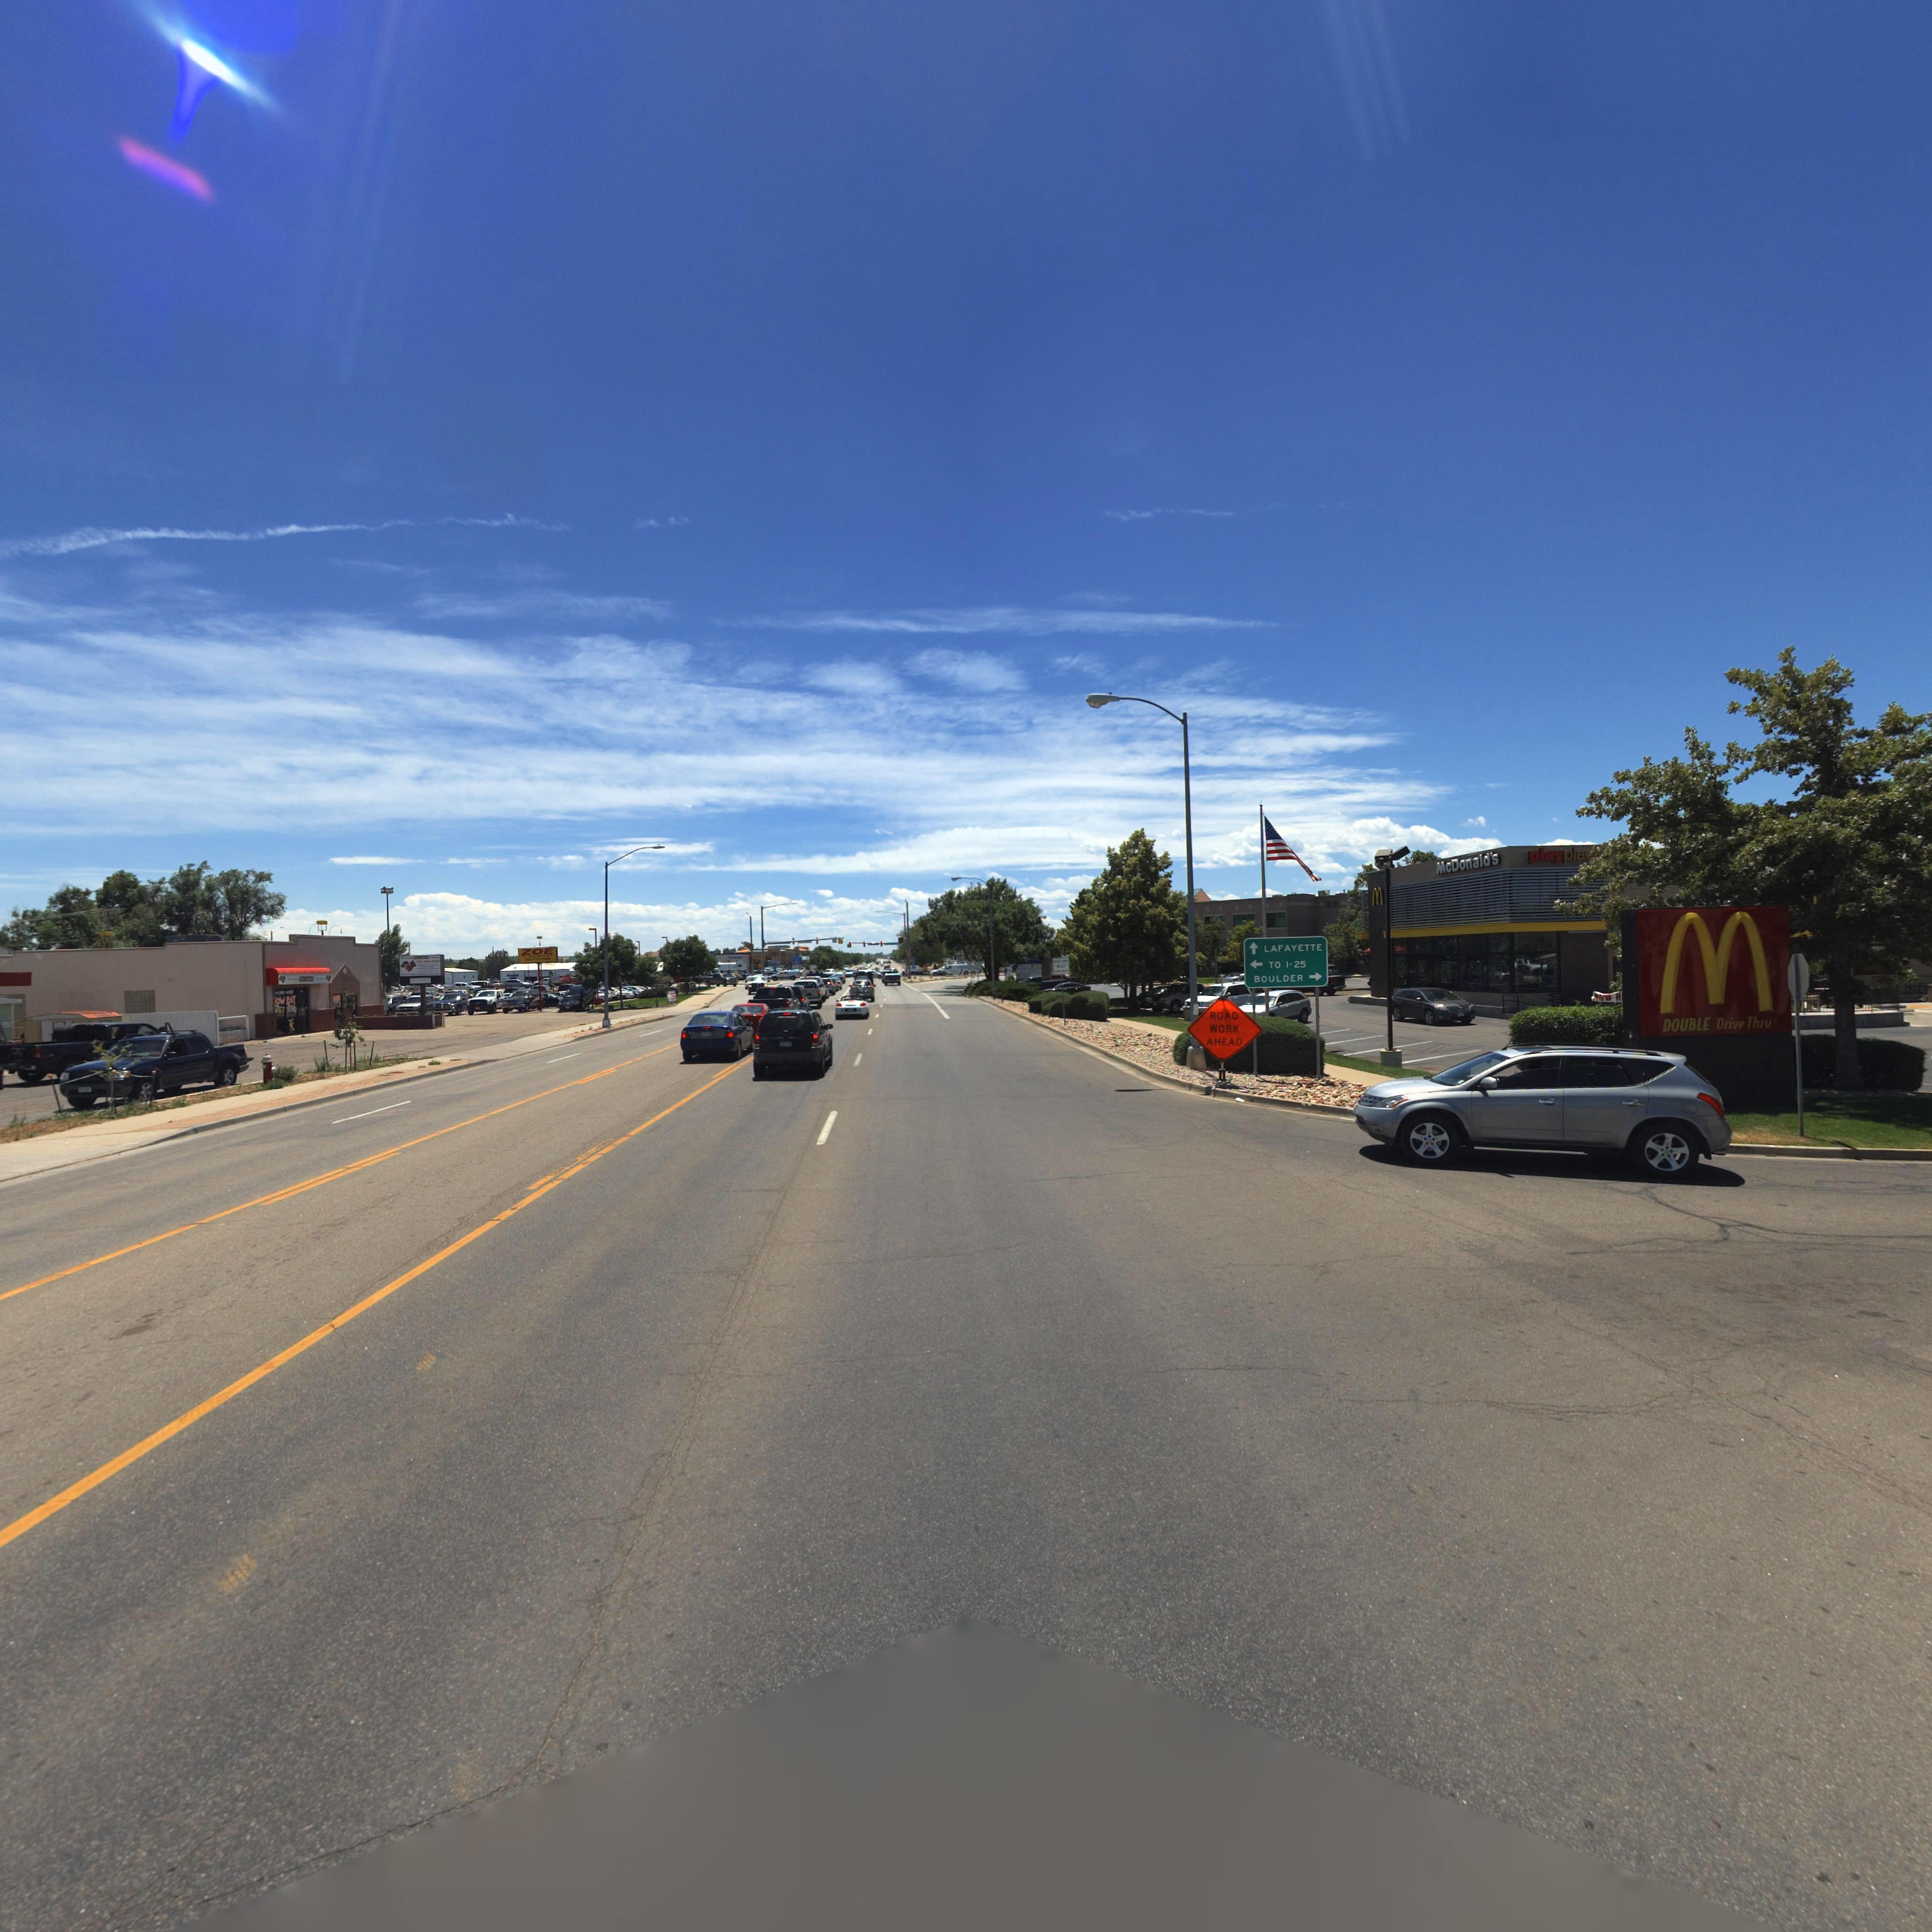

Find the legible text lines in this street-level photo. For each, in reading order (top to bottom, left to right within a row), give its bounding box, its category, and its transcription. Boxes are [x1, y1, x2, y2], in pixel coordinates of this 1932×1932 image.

[1436, 851, 1499, 875] BusinessName: McDonald's
[520, 948, 553, 955] BusinessName: ZOE